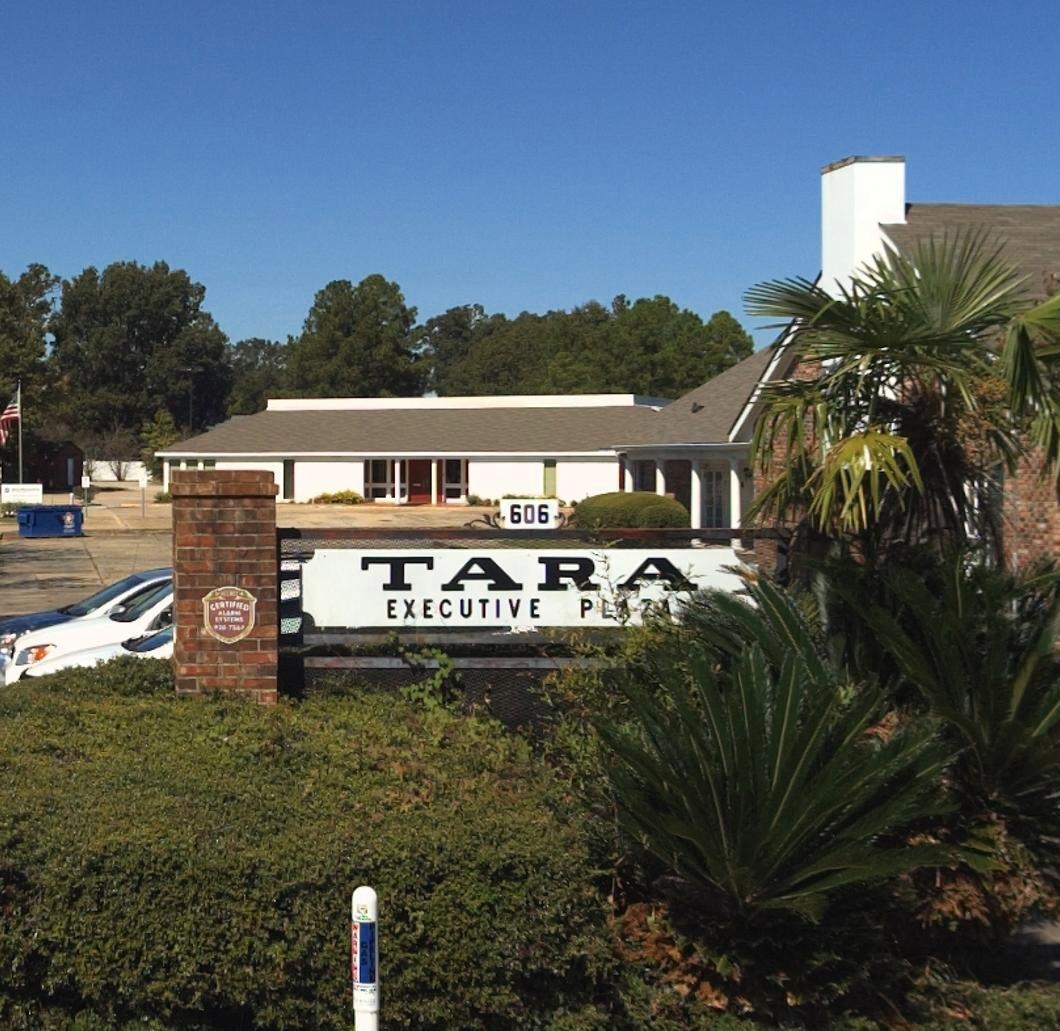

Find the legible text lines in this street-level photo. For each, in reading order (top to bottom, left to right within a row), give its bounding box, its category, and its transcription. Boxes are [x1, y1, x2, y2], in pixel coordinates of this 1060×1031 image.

[509, 502, 551, 525] StreetNumber: 606
[358, 554, 701, 593] BusinessName: TARA
[207, 597, 251, 613] None: CERTI*IED
[216, 609, 242, 618] None: ALARM
[229, 615, 244, 623] None: TEMS
[385, 596, 617, 621] BusinessName: EXECUTIVE PL